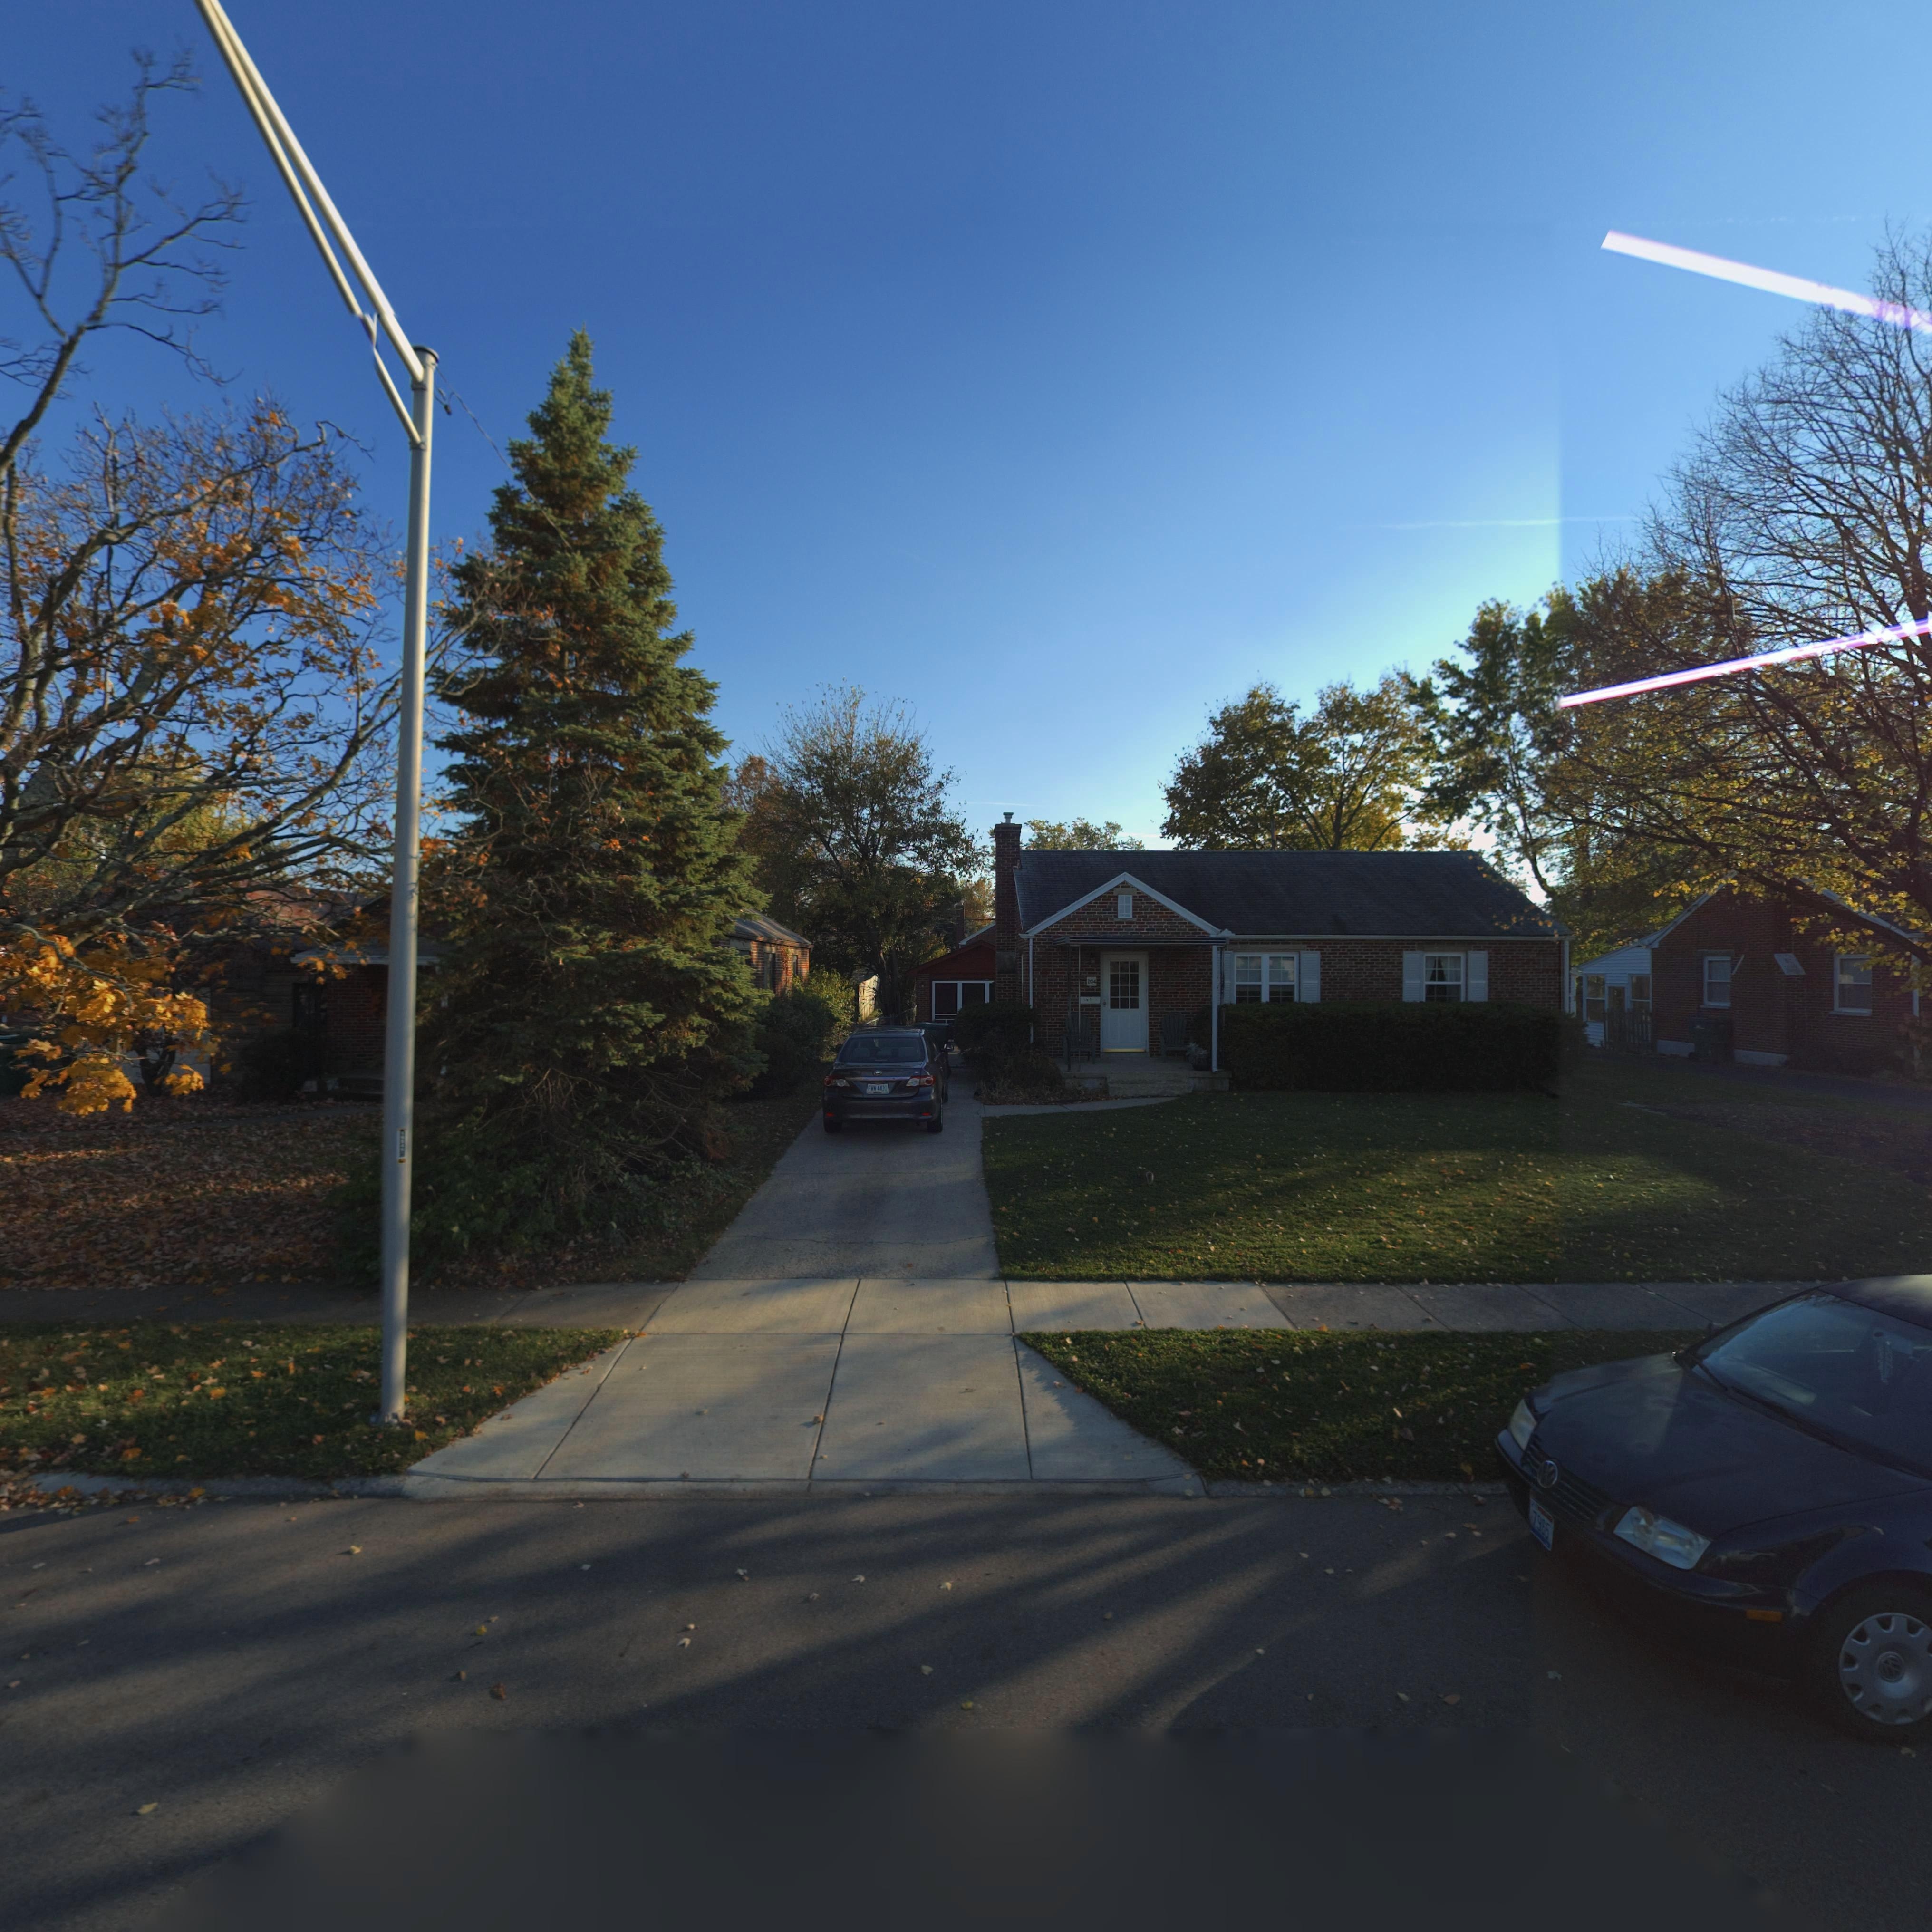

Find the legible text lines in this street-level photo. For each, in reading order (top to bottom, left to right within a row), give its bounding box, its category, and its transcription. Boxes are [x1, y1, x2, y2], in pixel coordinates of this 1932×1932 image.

[1087, 978, 1097, 985] StreetNumber: 204